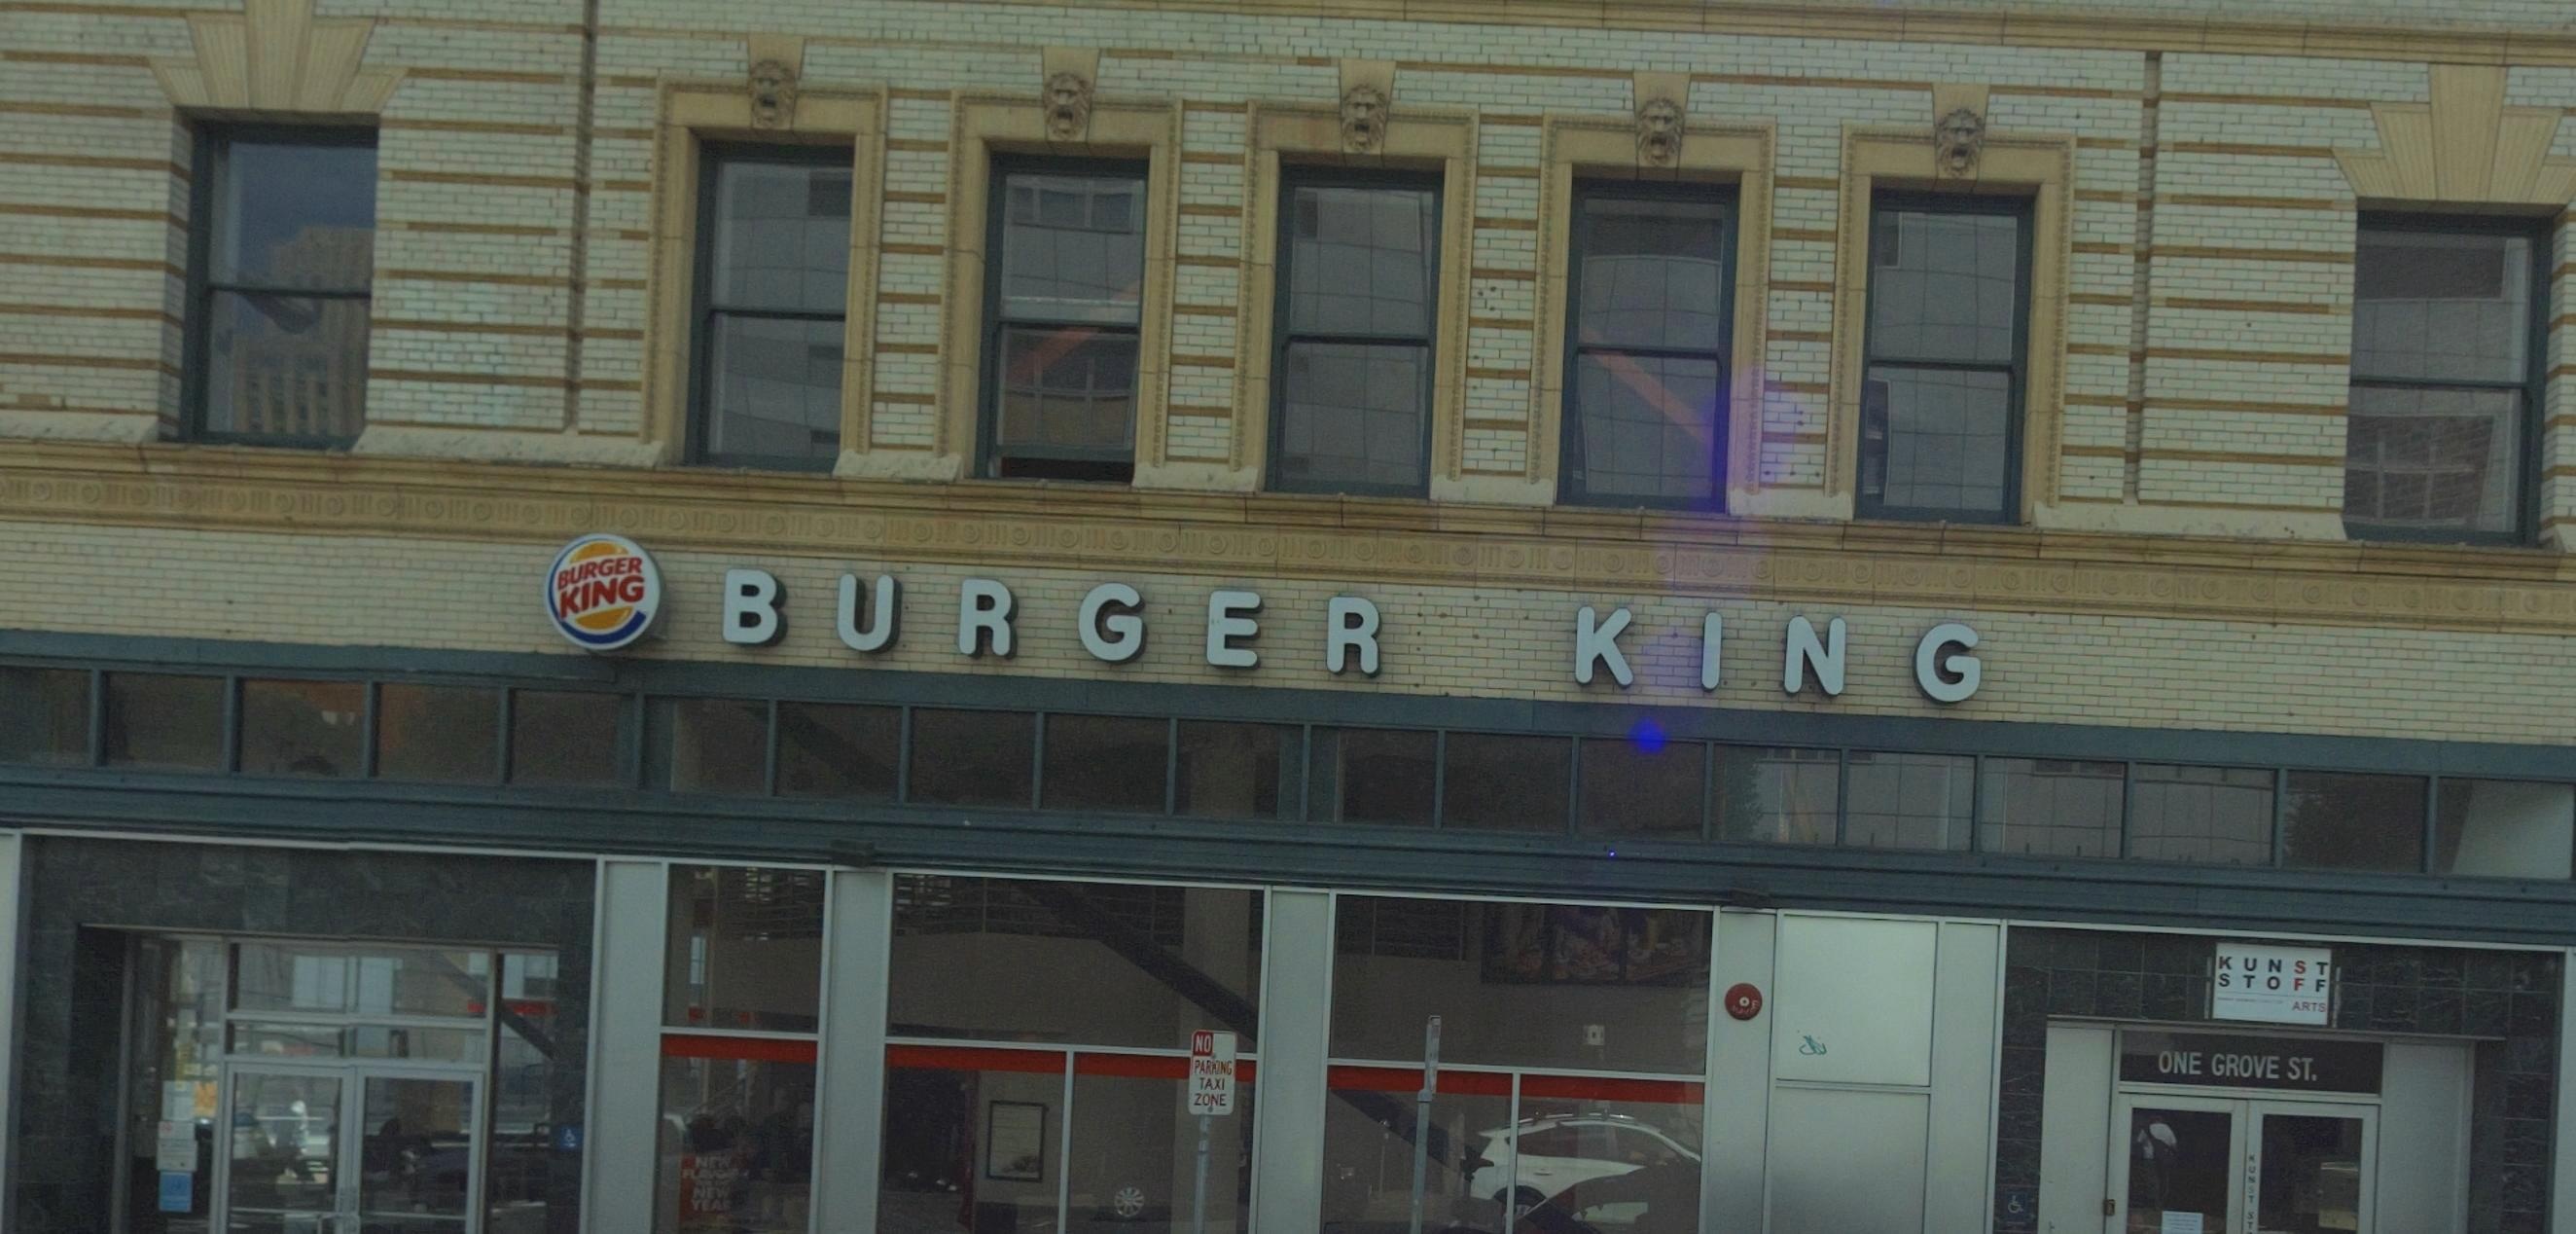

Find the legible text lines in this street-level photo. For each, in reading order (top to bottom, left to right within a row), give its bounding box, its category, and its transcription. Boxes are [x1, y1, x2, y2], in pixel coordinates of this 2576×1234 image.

[554, 555, 646, 595] BusinessName: BURGER
[557, 572, 649, 621] BusinessName: KING
[716, 562, 1985, 708] BusinessName: BURGER KING
[2215, 952, 2332, 979] BusinessName: KUNST
[2215, 970, 2329, 996] BusinessName: STOFF
[2287, 999, 2330, 1016] None: ARTS
[1194, 1032, 1213, 1055] None: NO
[1193, 1057, 1234, 1078] None: PARKING
[2157, 1046, 2207, 1080] StreetNumber: ONE
[2209, 1049, 2320, 1085] StreetName: GROVE ST.
[1197, 1075, 1228, 1092] None: TAXI
[1191, 1091, 1229, 1109] None: ZONE
[693, 1153, 736, 1172] None: NEW
[679, 1168, 736, 1181] None: PLAY**
[690, 1184, 733, 1201] None: NEW
[2244, 1150, 2258, 1233] BusinessName: KUNST ST
[687, 1197, 734, 1215] None: YEAR